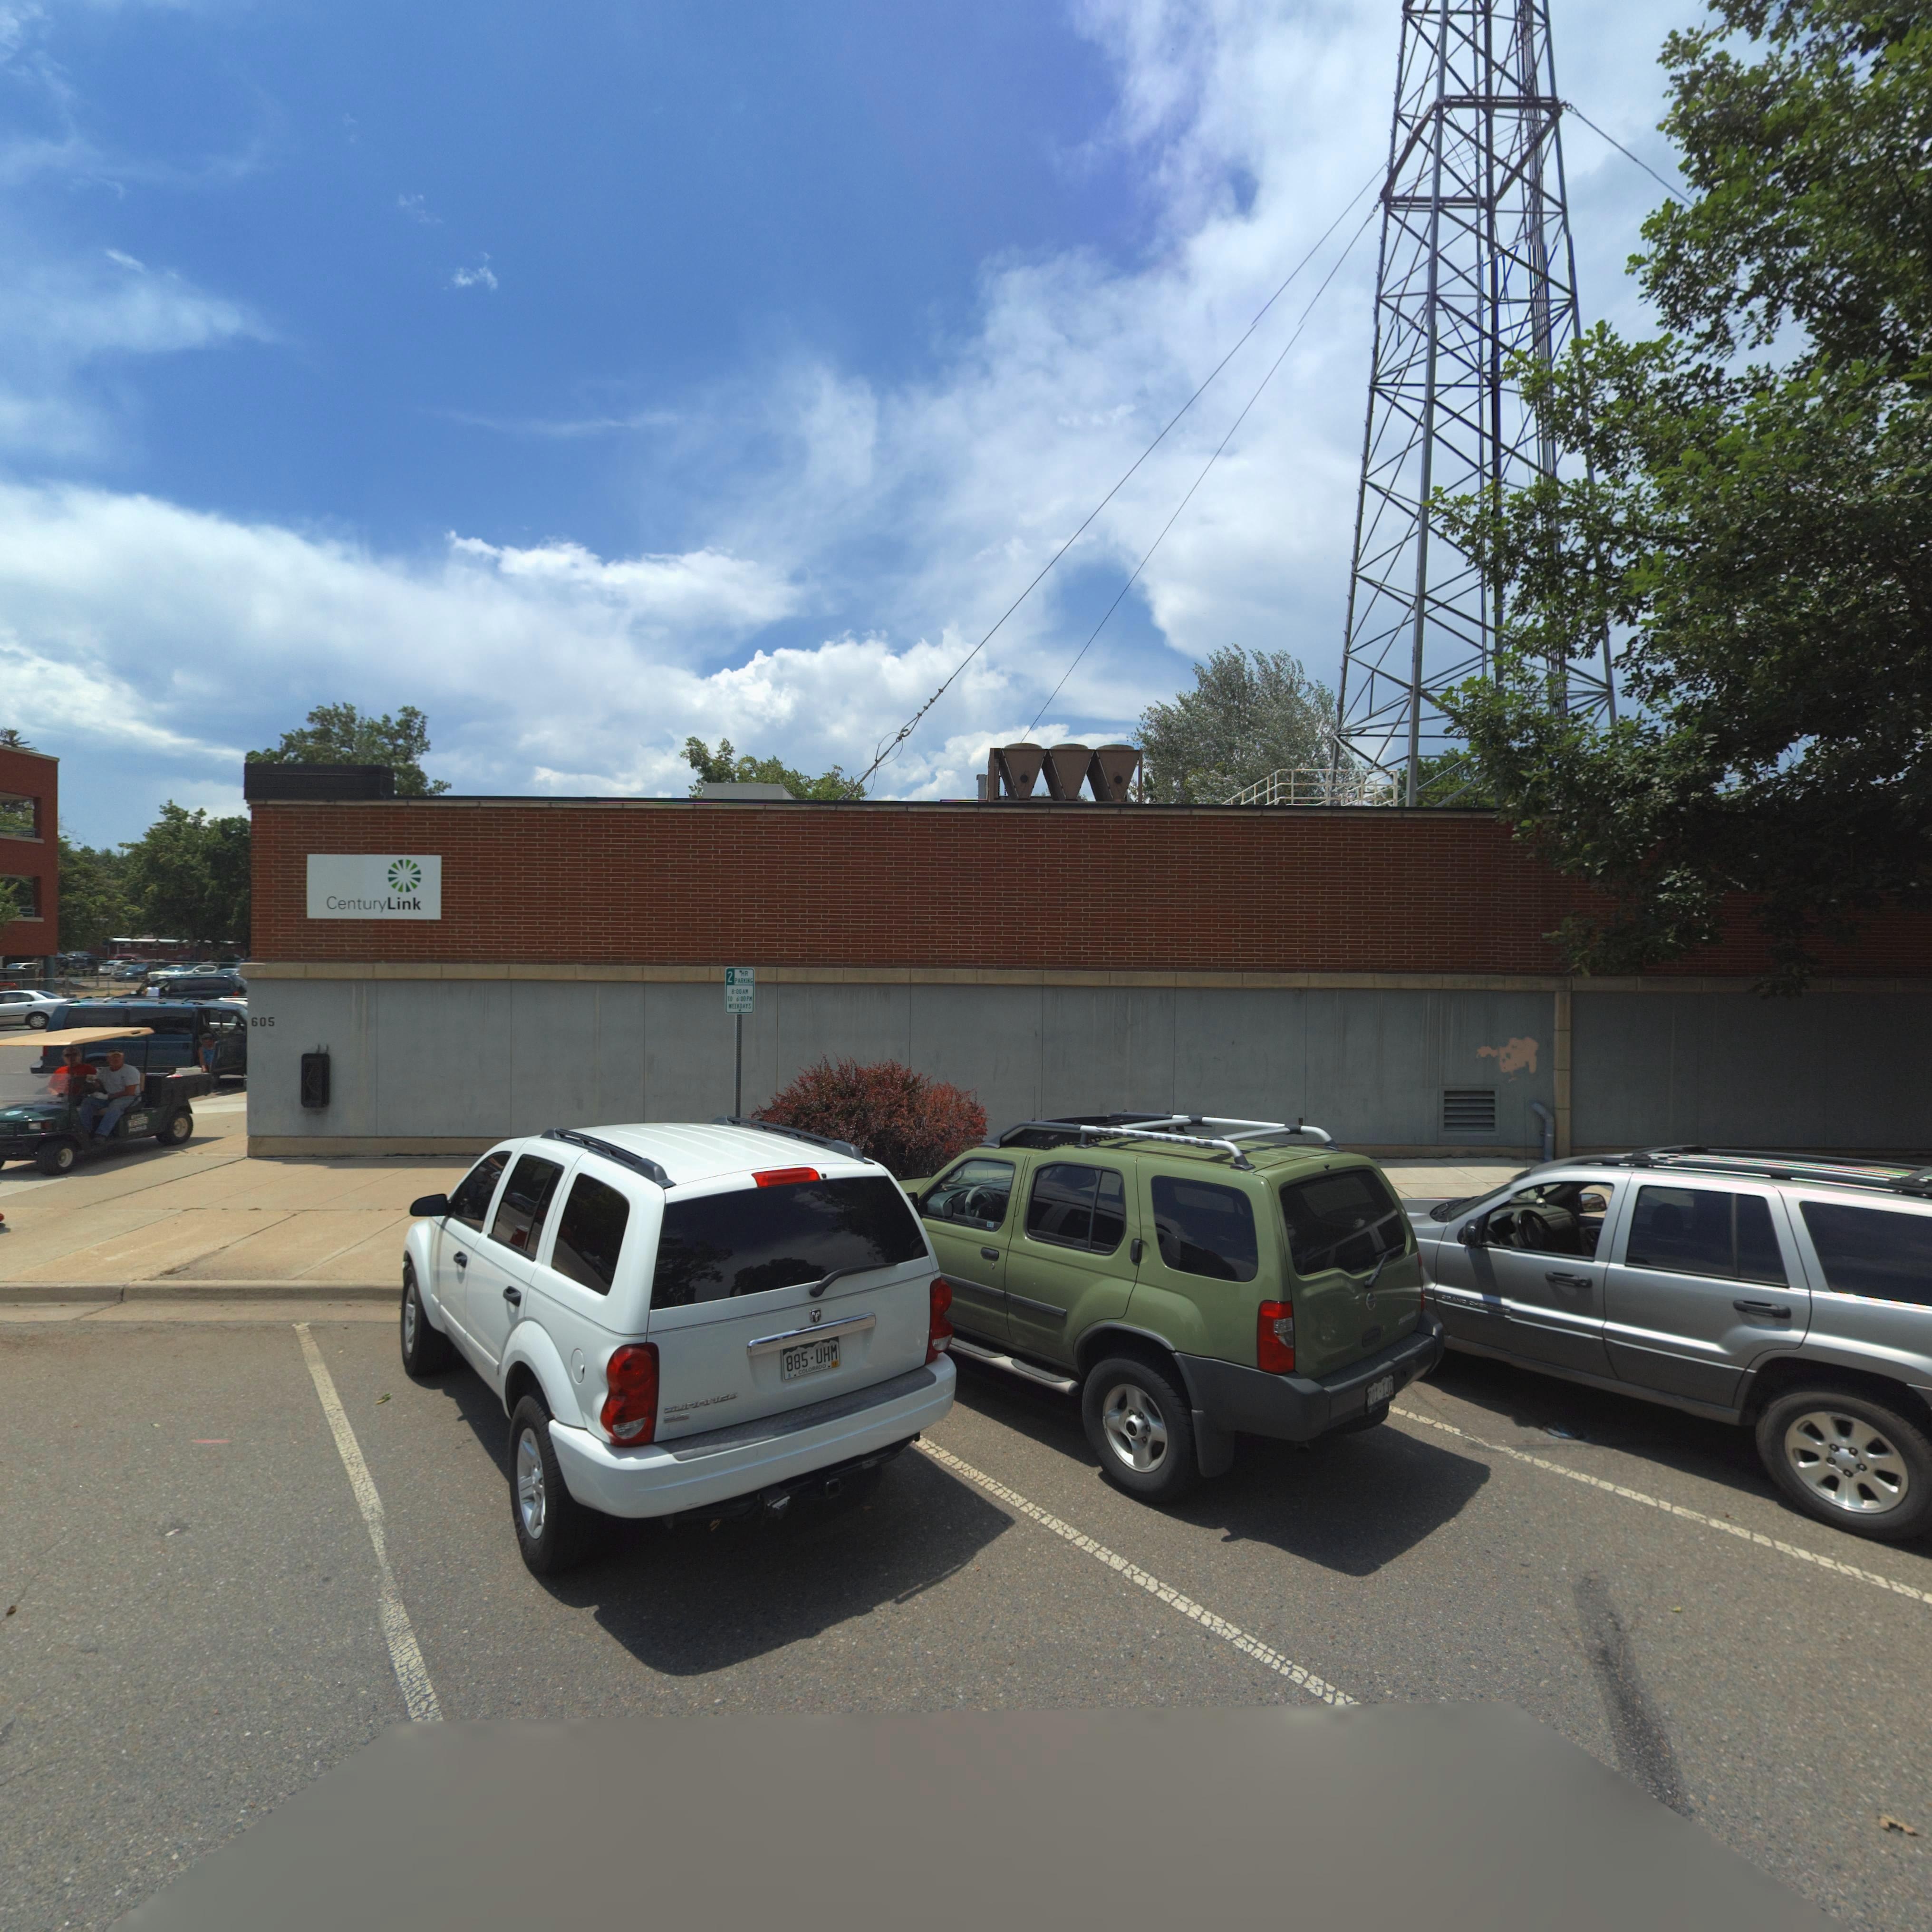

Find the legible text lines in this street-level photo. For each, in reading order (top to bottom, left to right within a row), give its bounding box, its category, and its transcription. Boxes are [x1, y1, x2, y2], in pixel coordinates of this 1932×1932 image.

[326, 895, 422, 914] BusinessName: CenturyLink
[251, 1016, 275, 1027] StreetNumber: 605